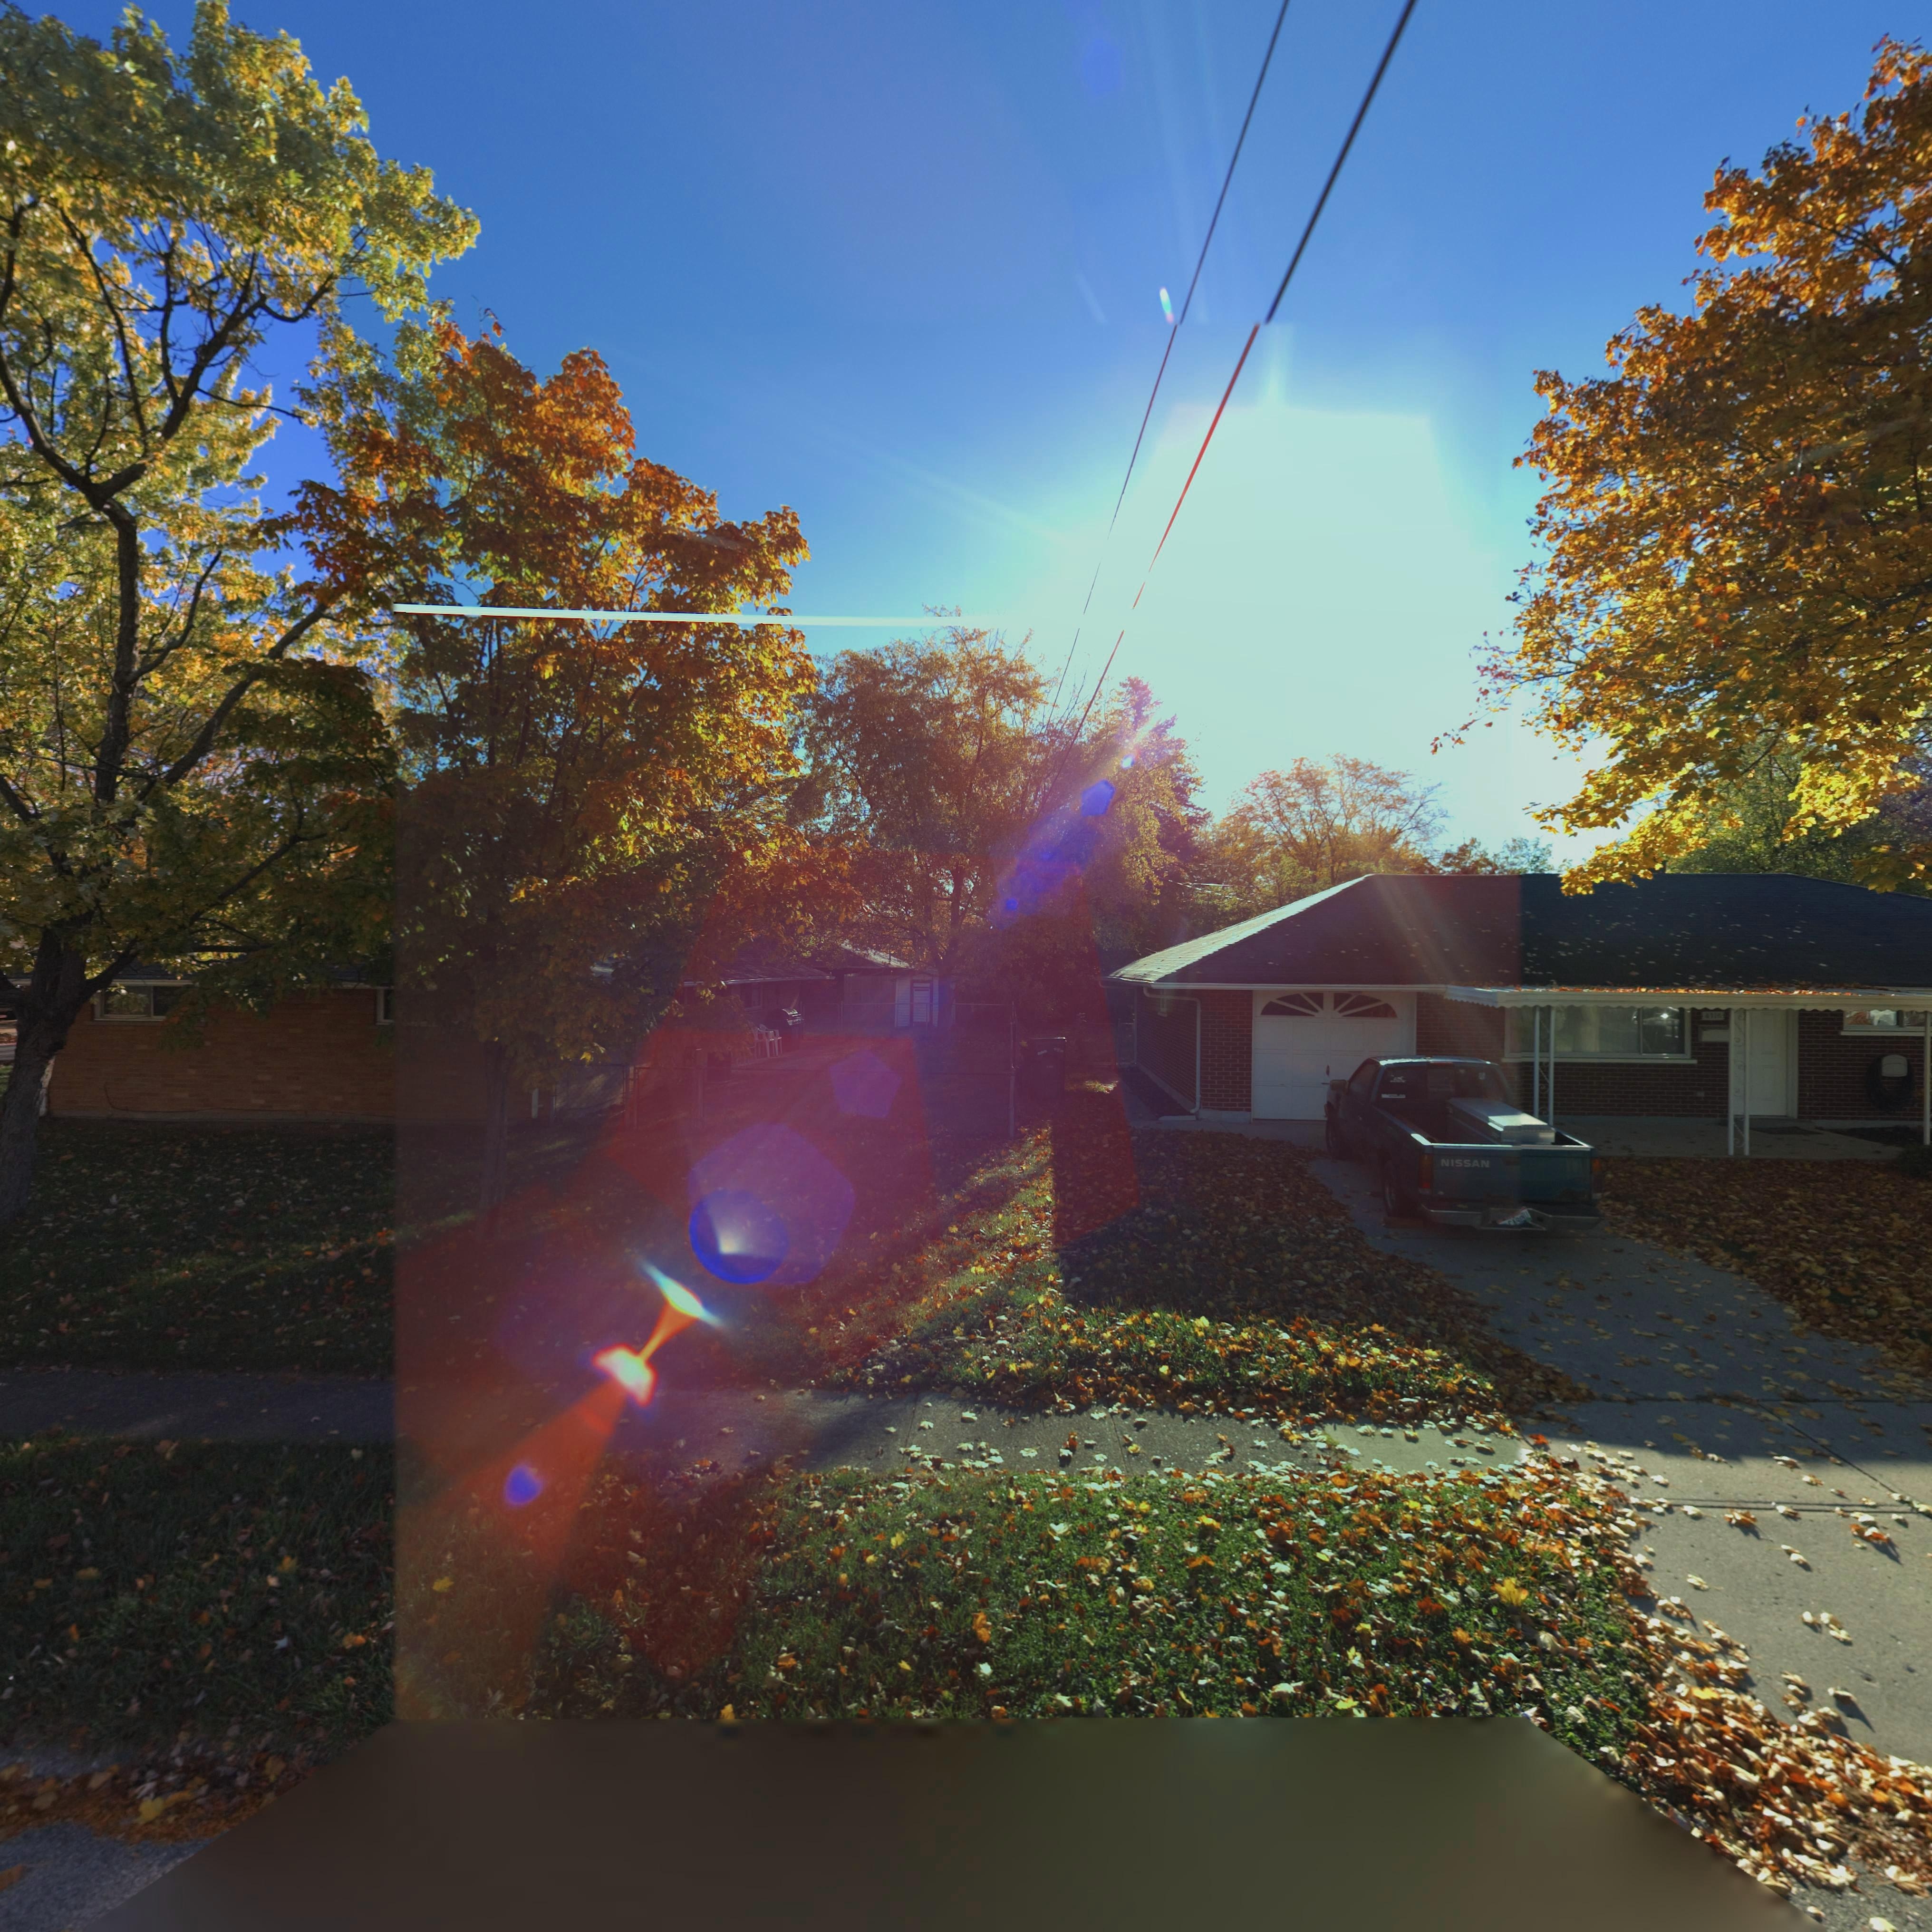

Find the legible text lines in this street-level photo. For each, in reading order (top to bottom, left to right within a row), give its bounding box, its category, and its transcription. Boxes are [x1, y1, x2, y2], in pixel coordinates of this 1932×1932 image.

[1705, 1012, 1721, 1018] StreetNumber: 4716